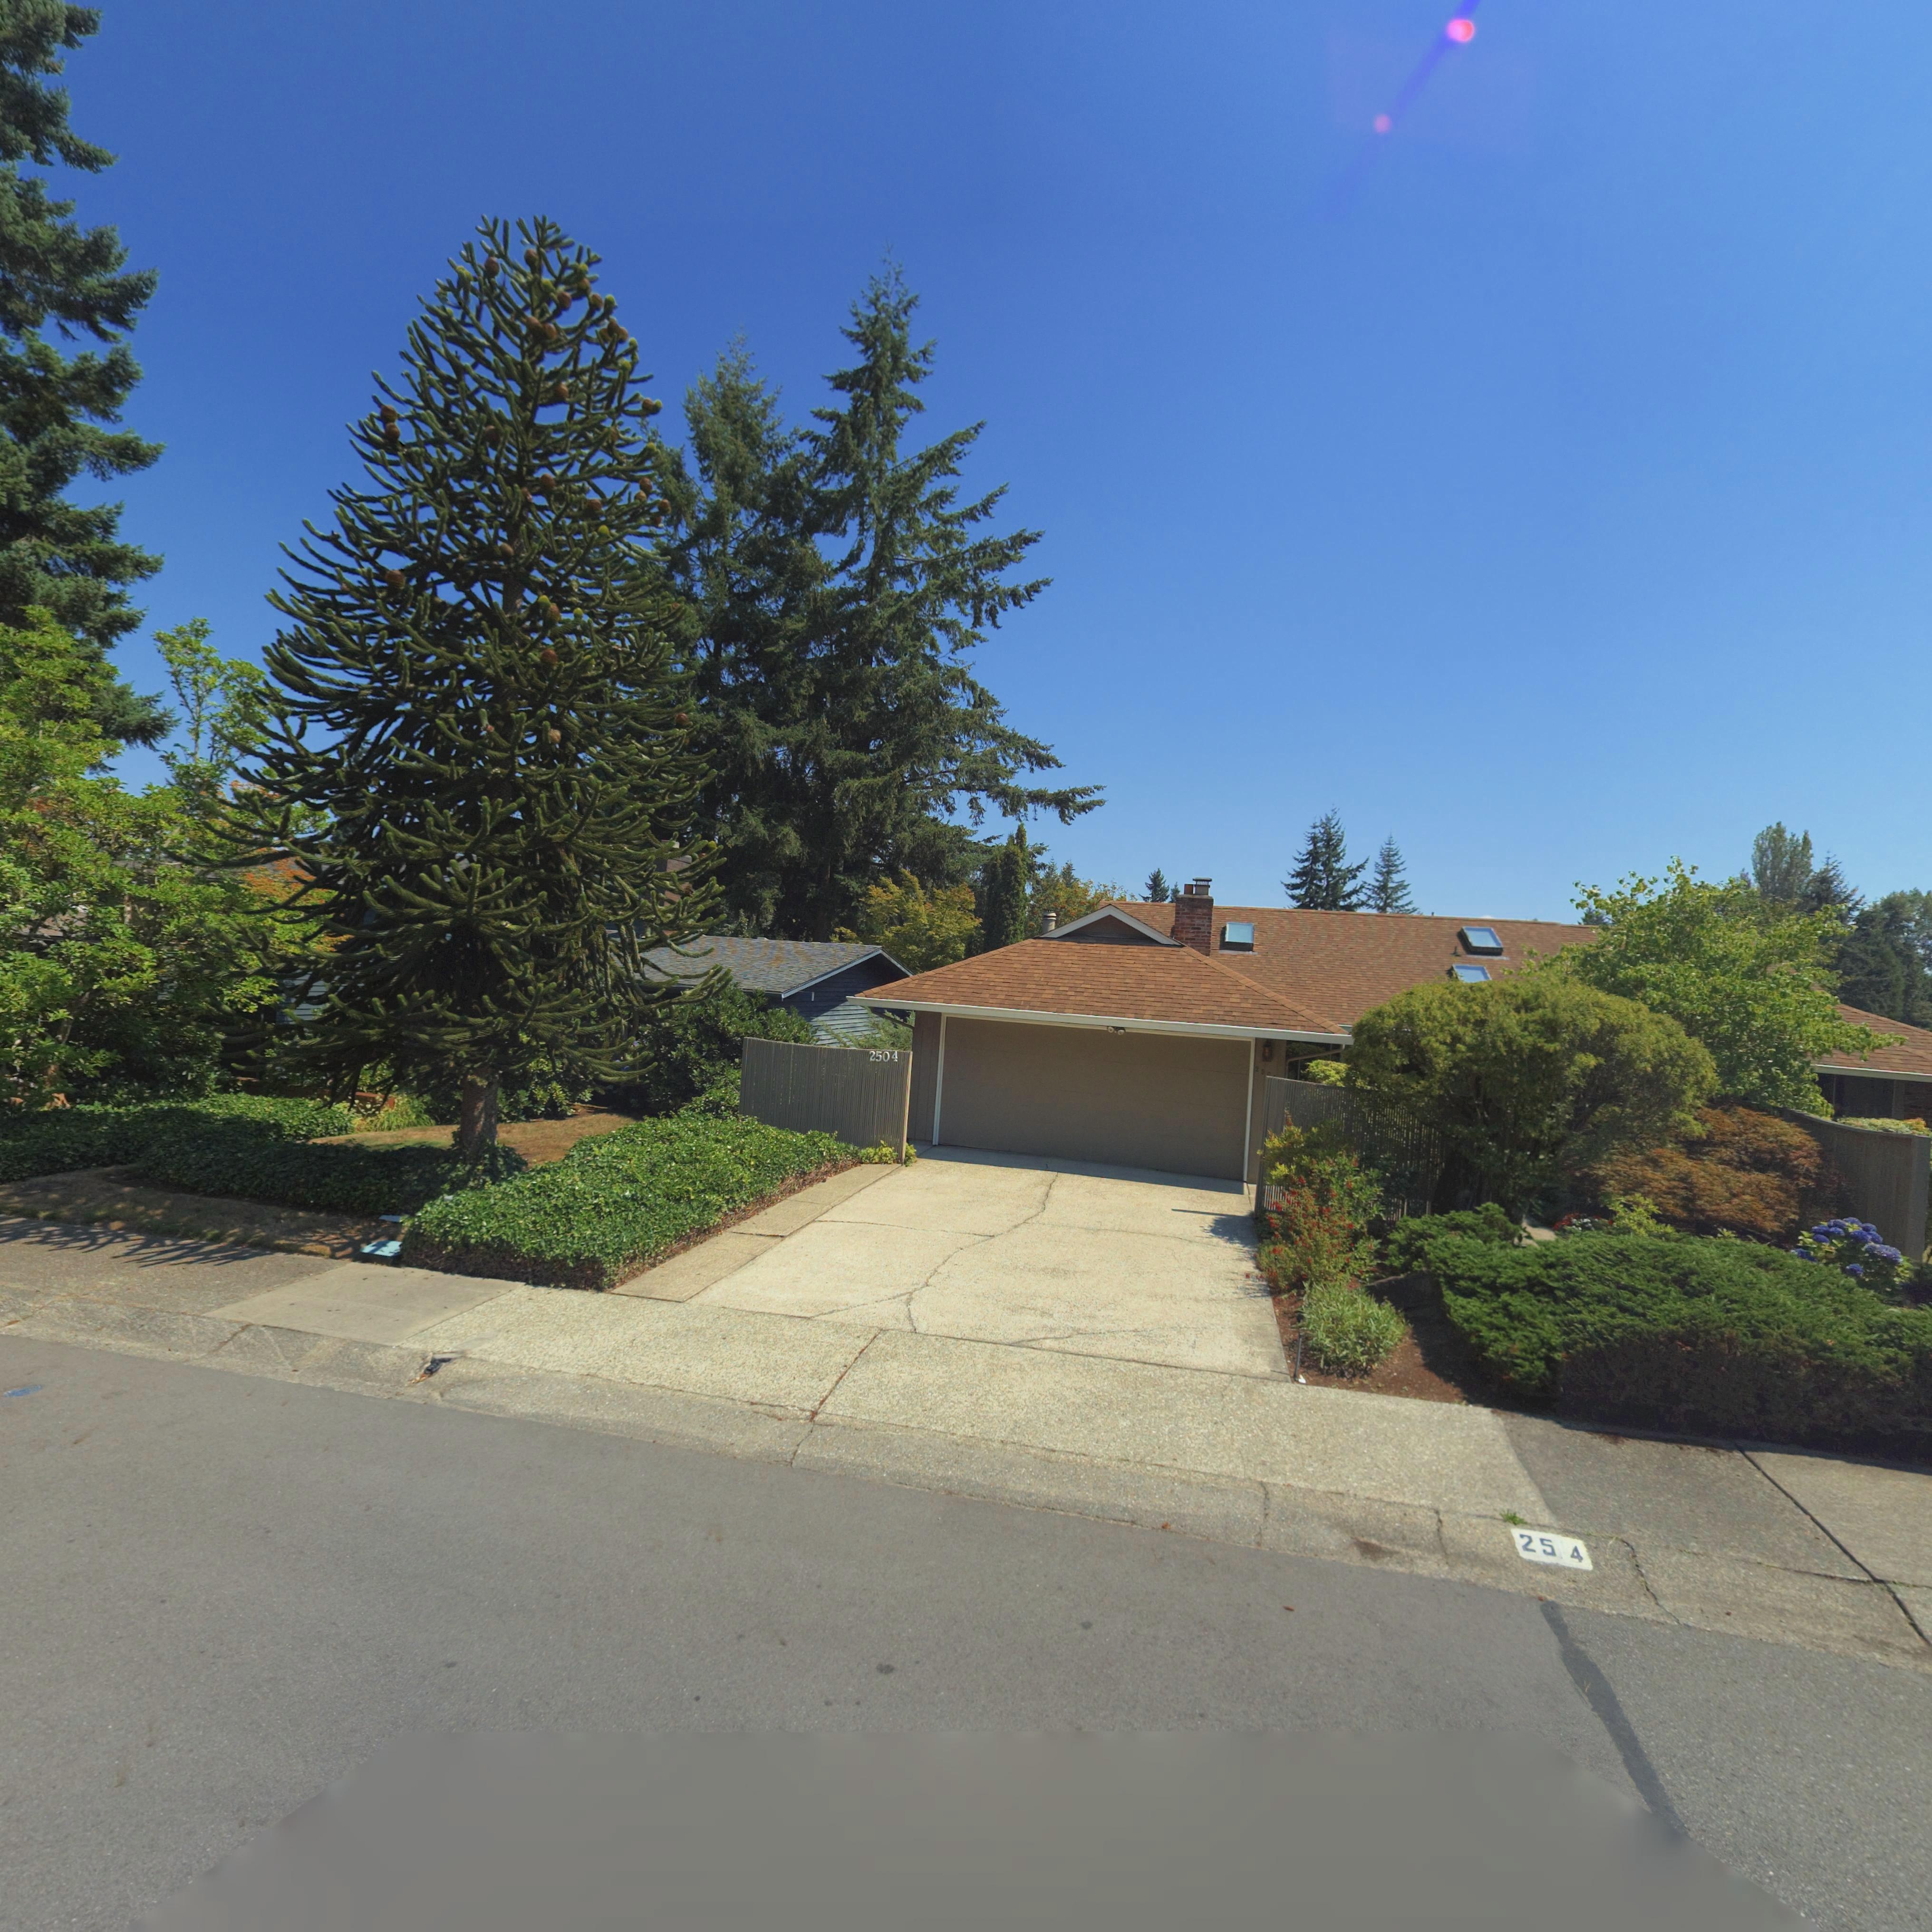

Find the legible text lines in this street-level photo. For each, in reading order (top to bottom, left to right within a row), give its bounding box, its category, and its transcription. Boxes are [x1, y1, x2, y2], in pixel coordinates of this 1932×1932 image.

[867, 1046, 900, 1065] StreetNumber: 2504
[1513, 1529, 1594, 1569] StreetNumber: 2504